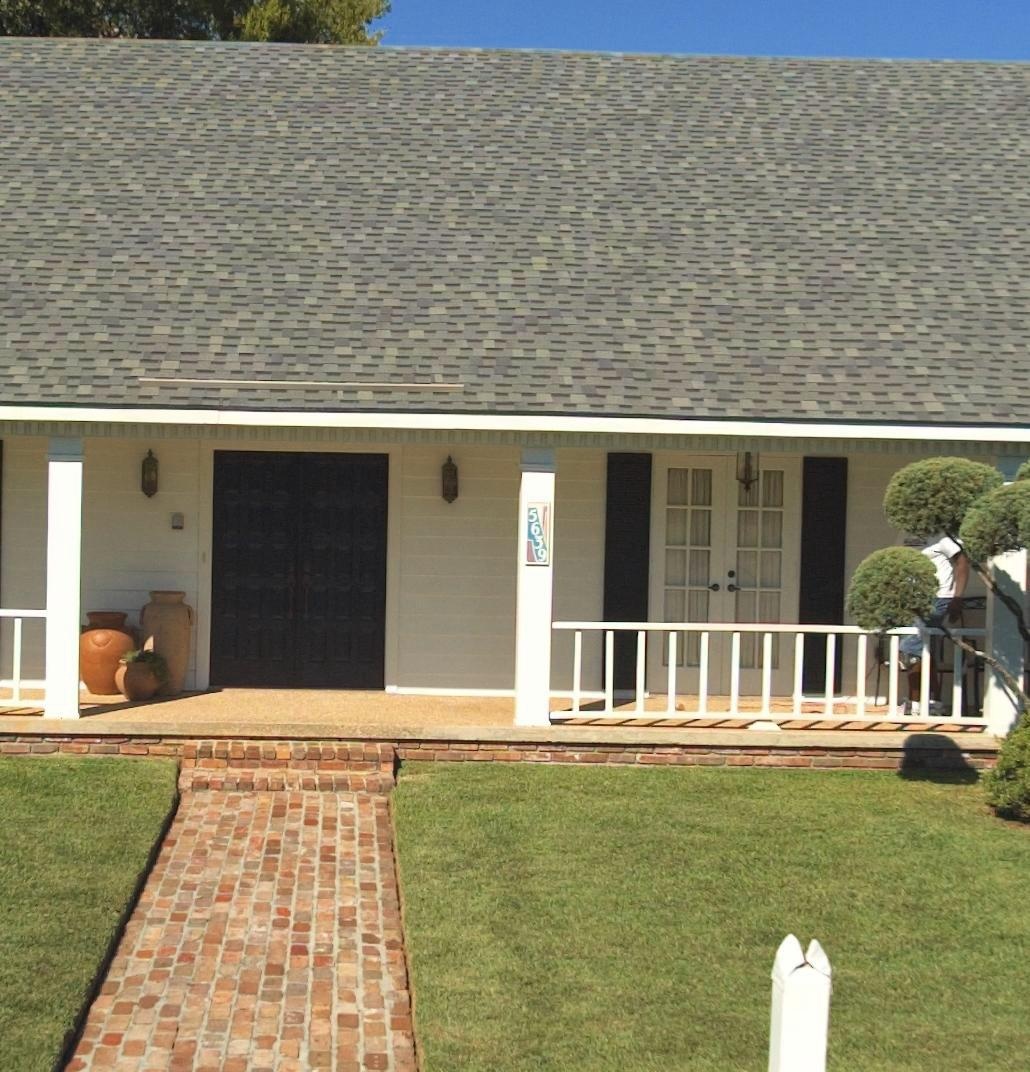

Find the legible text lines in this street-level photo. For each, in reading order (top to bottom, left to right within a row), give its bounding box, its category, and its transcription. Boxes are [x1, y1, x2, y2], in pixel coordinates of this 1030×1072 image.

[527, 507, 550, 564] StreetNumber: 5639